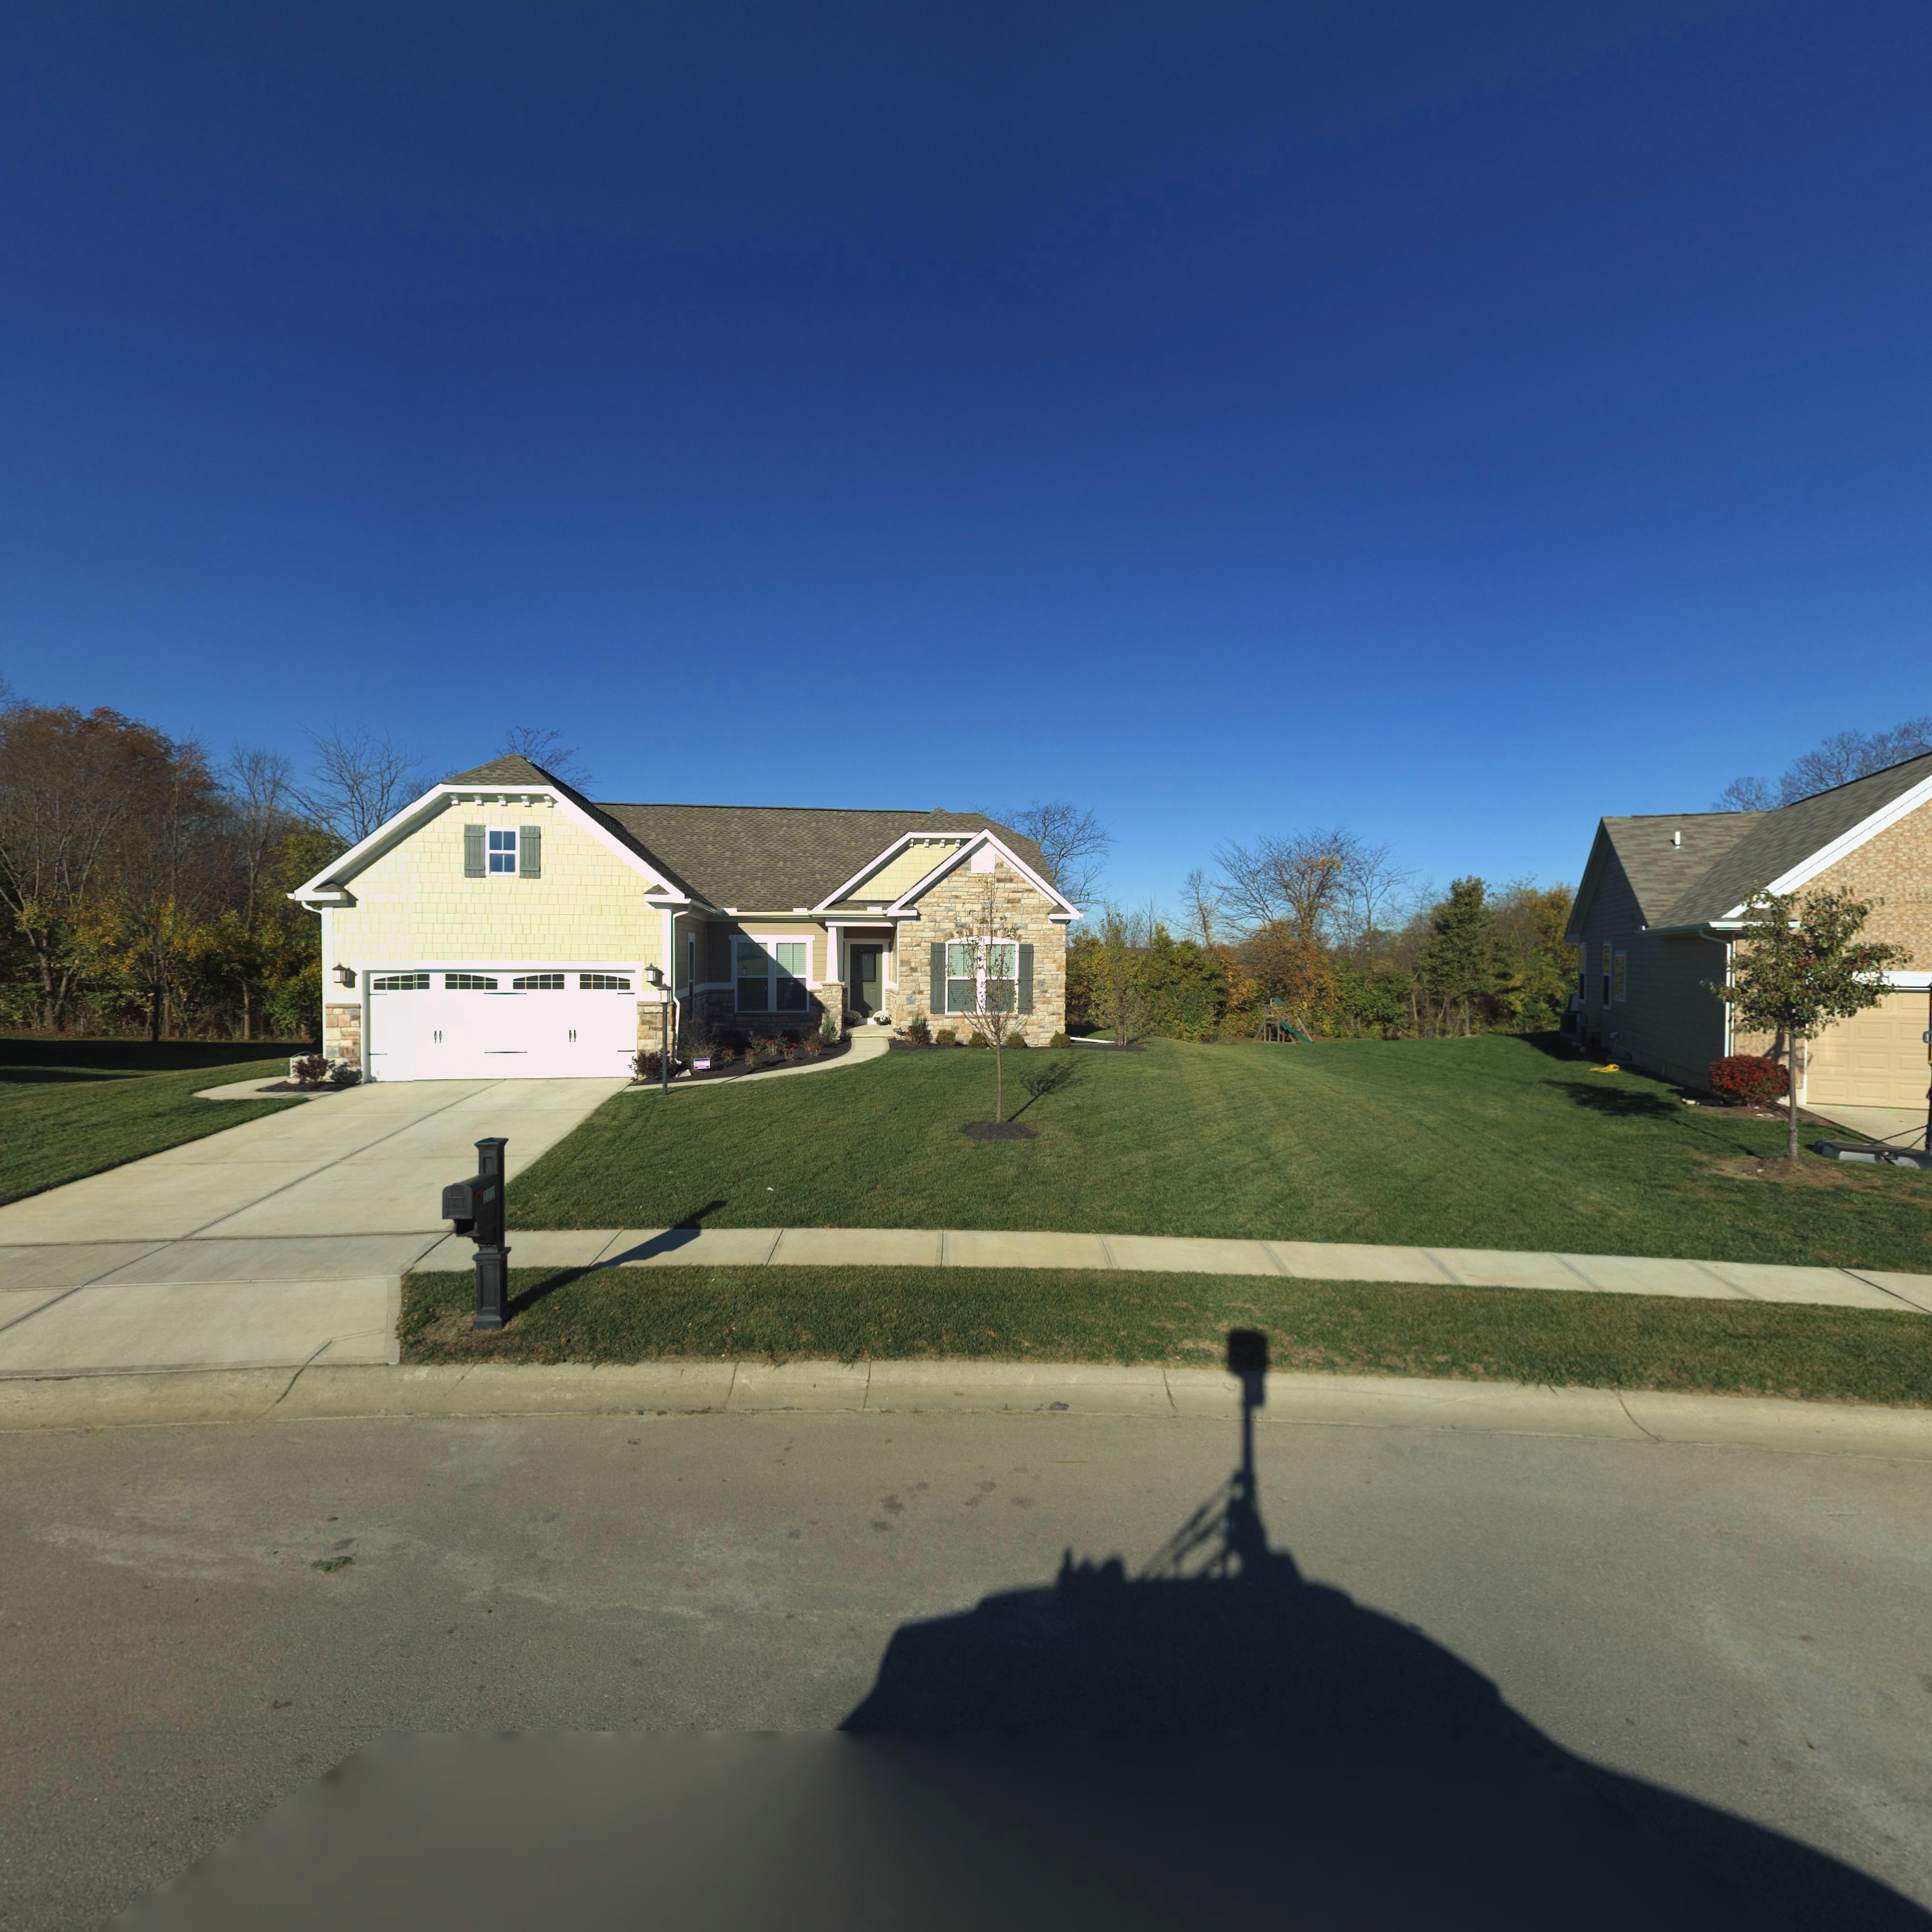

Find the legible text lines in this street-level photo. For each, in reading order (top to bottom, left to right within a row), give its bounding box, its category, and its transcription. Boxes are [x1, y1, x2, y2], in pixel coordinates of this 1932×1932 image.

[483, 1186, 495, 1204] StreetNumber: 11*